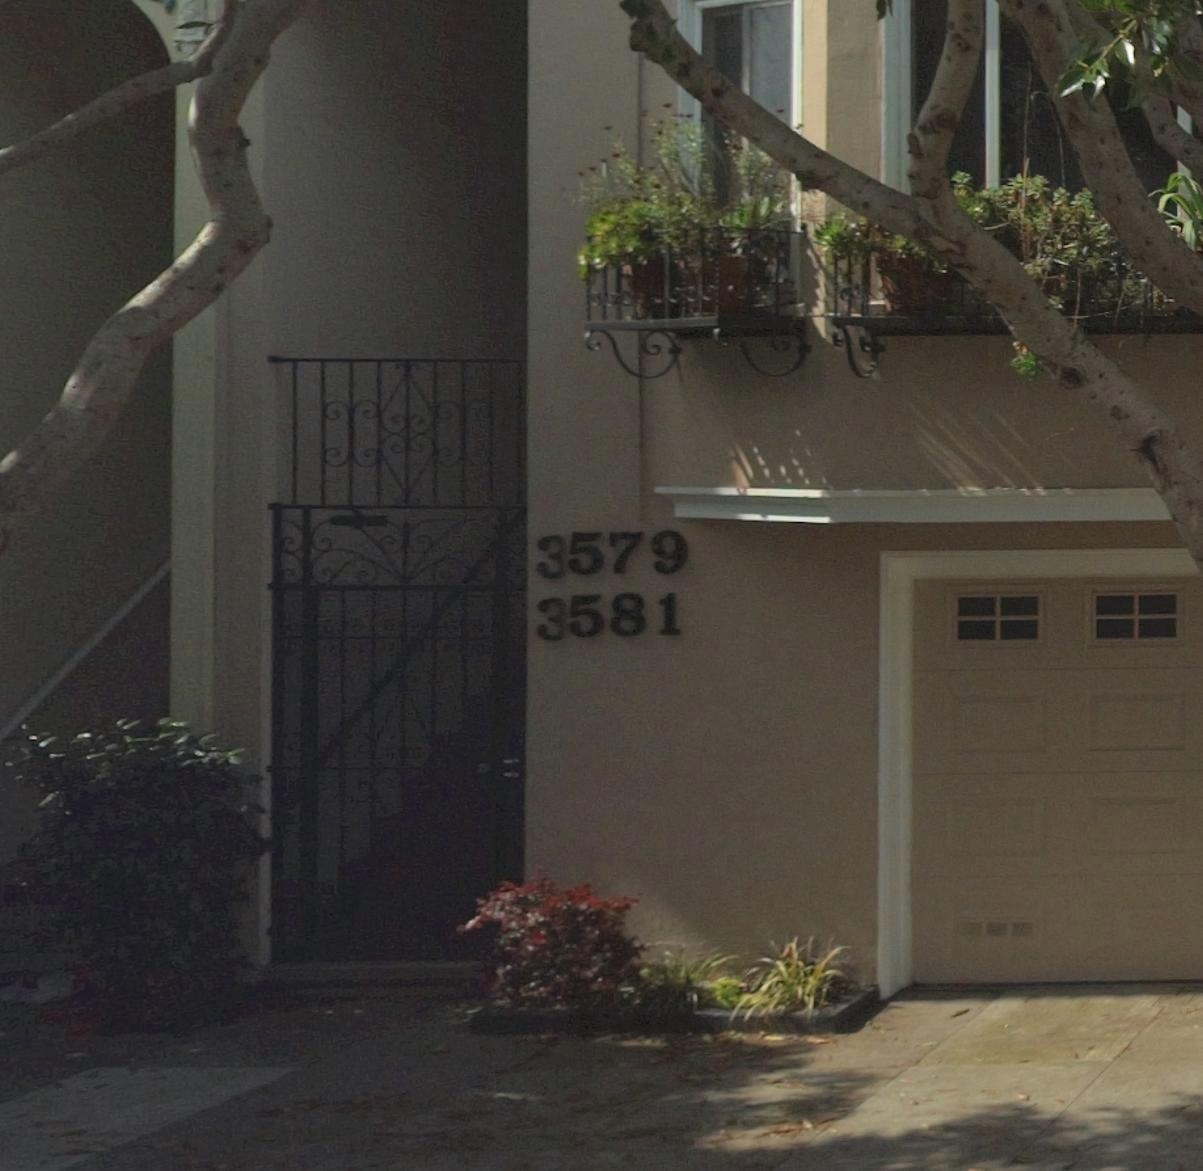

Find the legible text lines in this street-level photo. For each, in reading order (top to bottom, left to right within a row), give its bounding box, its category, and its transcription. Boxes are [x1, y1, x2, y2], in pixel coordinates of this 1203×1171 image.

[534, 528, 692, 582] StreetNumber: *579
[533, 588, 685, 647] StreetNumber: *581